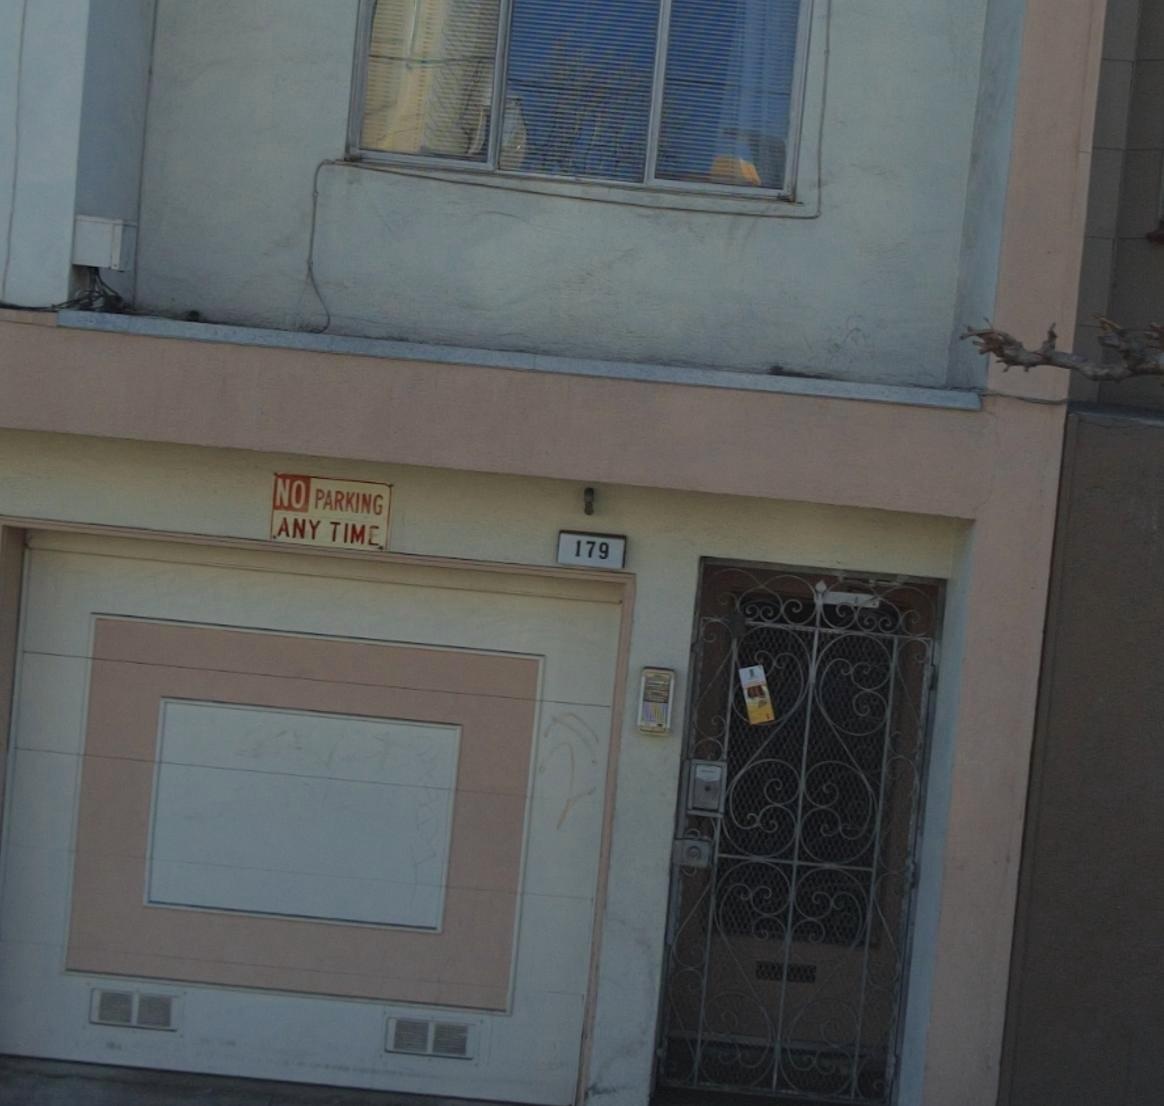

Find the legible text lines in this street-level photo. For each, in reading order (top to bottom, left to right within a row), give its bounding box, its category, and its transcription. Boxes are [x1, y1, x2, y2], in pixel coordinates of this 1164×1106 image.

[272, 475, 387, 518] None: NO PARKING
[273, 513, 382, 547] None: ANY TIME
[572, 538, 610, 561] StreetNumber: 179